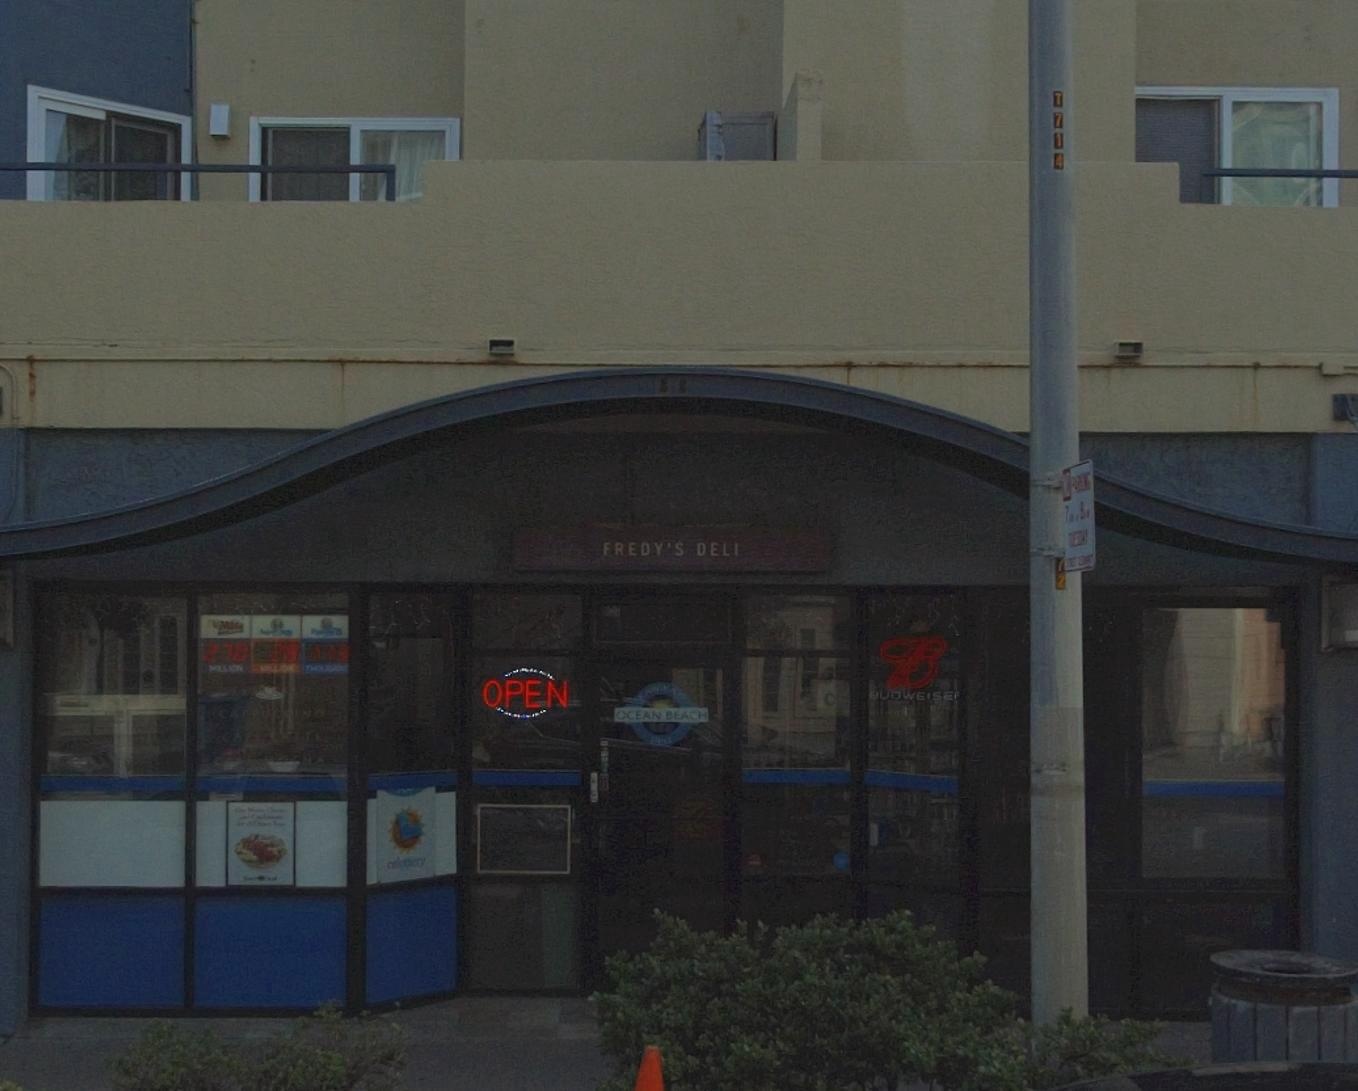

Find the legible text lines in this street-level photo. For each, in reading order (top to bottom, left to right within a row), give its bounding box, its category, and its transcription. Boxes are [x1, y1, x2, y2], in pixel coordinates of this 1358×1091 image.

[1052, 89, 1066, 172] None: T714
[599, 537, 741, 559] BusinessName: FREDY'S DELI
[1055, 572, 1067, 592] None: 2
[199, 640, 251, 665] None: 270
[206, 661, 245, 676] None: MILLION
[255, 661, 295, 676] None: MILLION\
[261, 641, 304, 665] None: 29
[303, 663, 351, 675] None: THOUSAND
[308, 642, 352, 666] None: 113
[875, 632, 952, 695] None: B
[479, 675, 575, 712] None: OPEN
[866, 688, 962, 702] None: BUDWEISE*
[611, 706, 711, 724] None: OCEAN BEACH